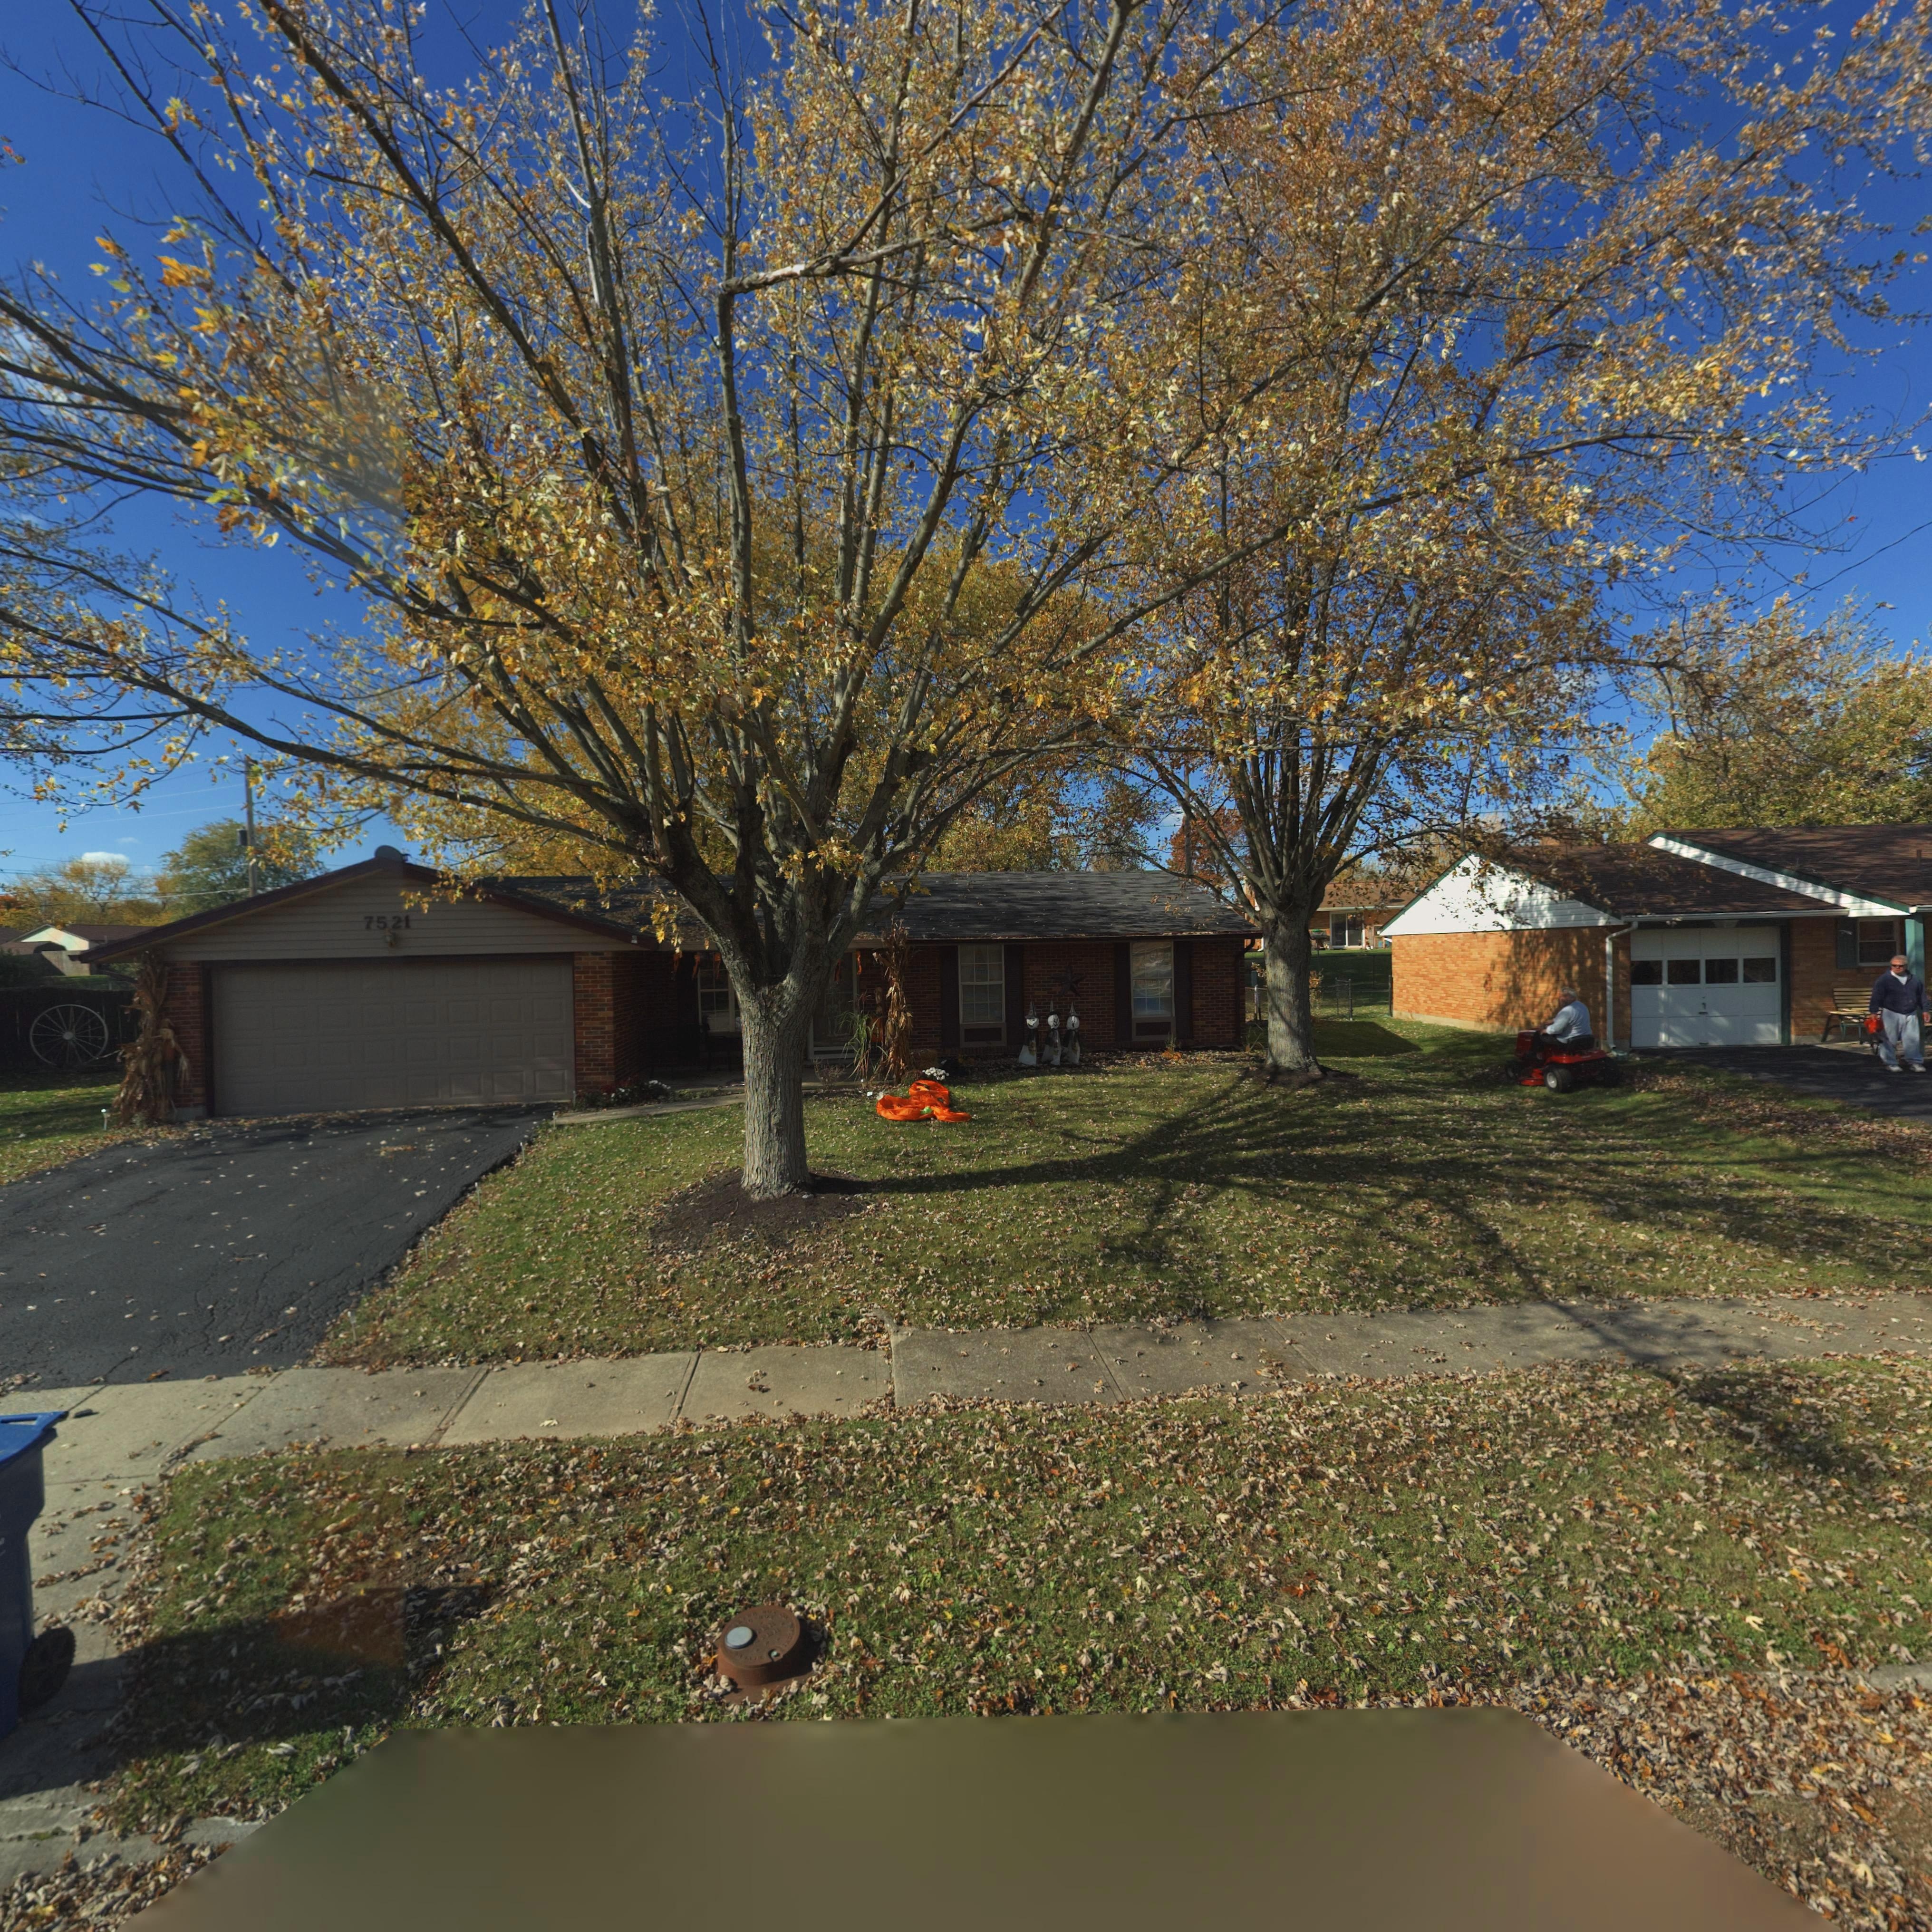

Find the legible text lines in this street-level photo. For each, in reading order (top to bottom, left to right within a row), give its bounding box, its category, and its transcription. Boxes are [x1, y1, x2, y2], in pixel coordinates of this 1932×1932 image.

[363, 913, 412, 932] StreetNumber: 7521